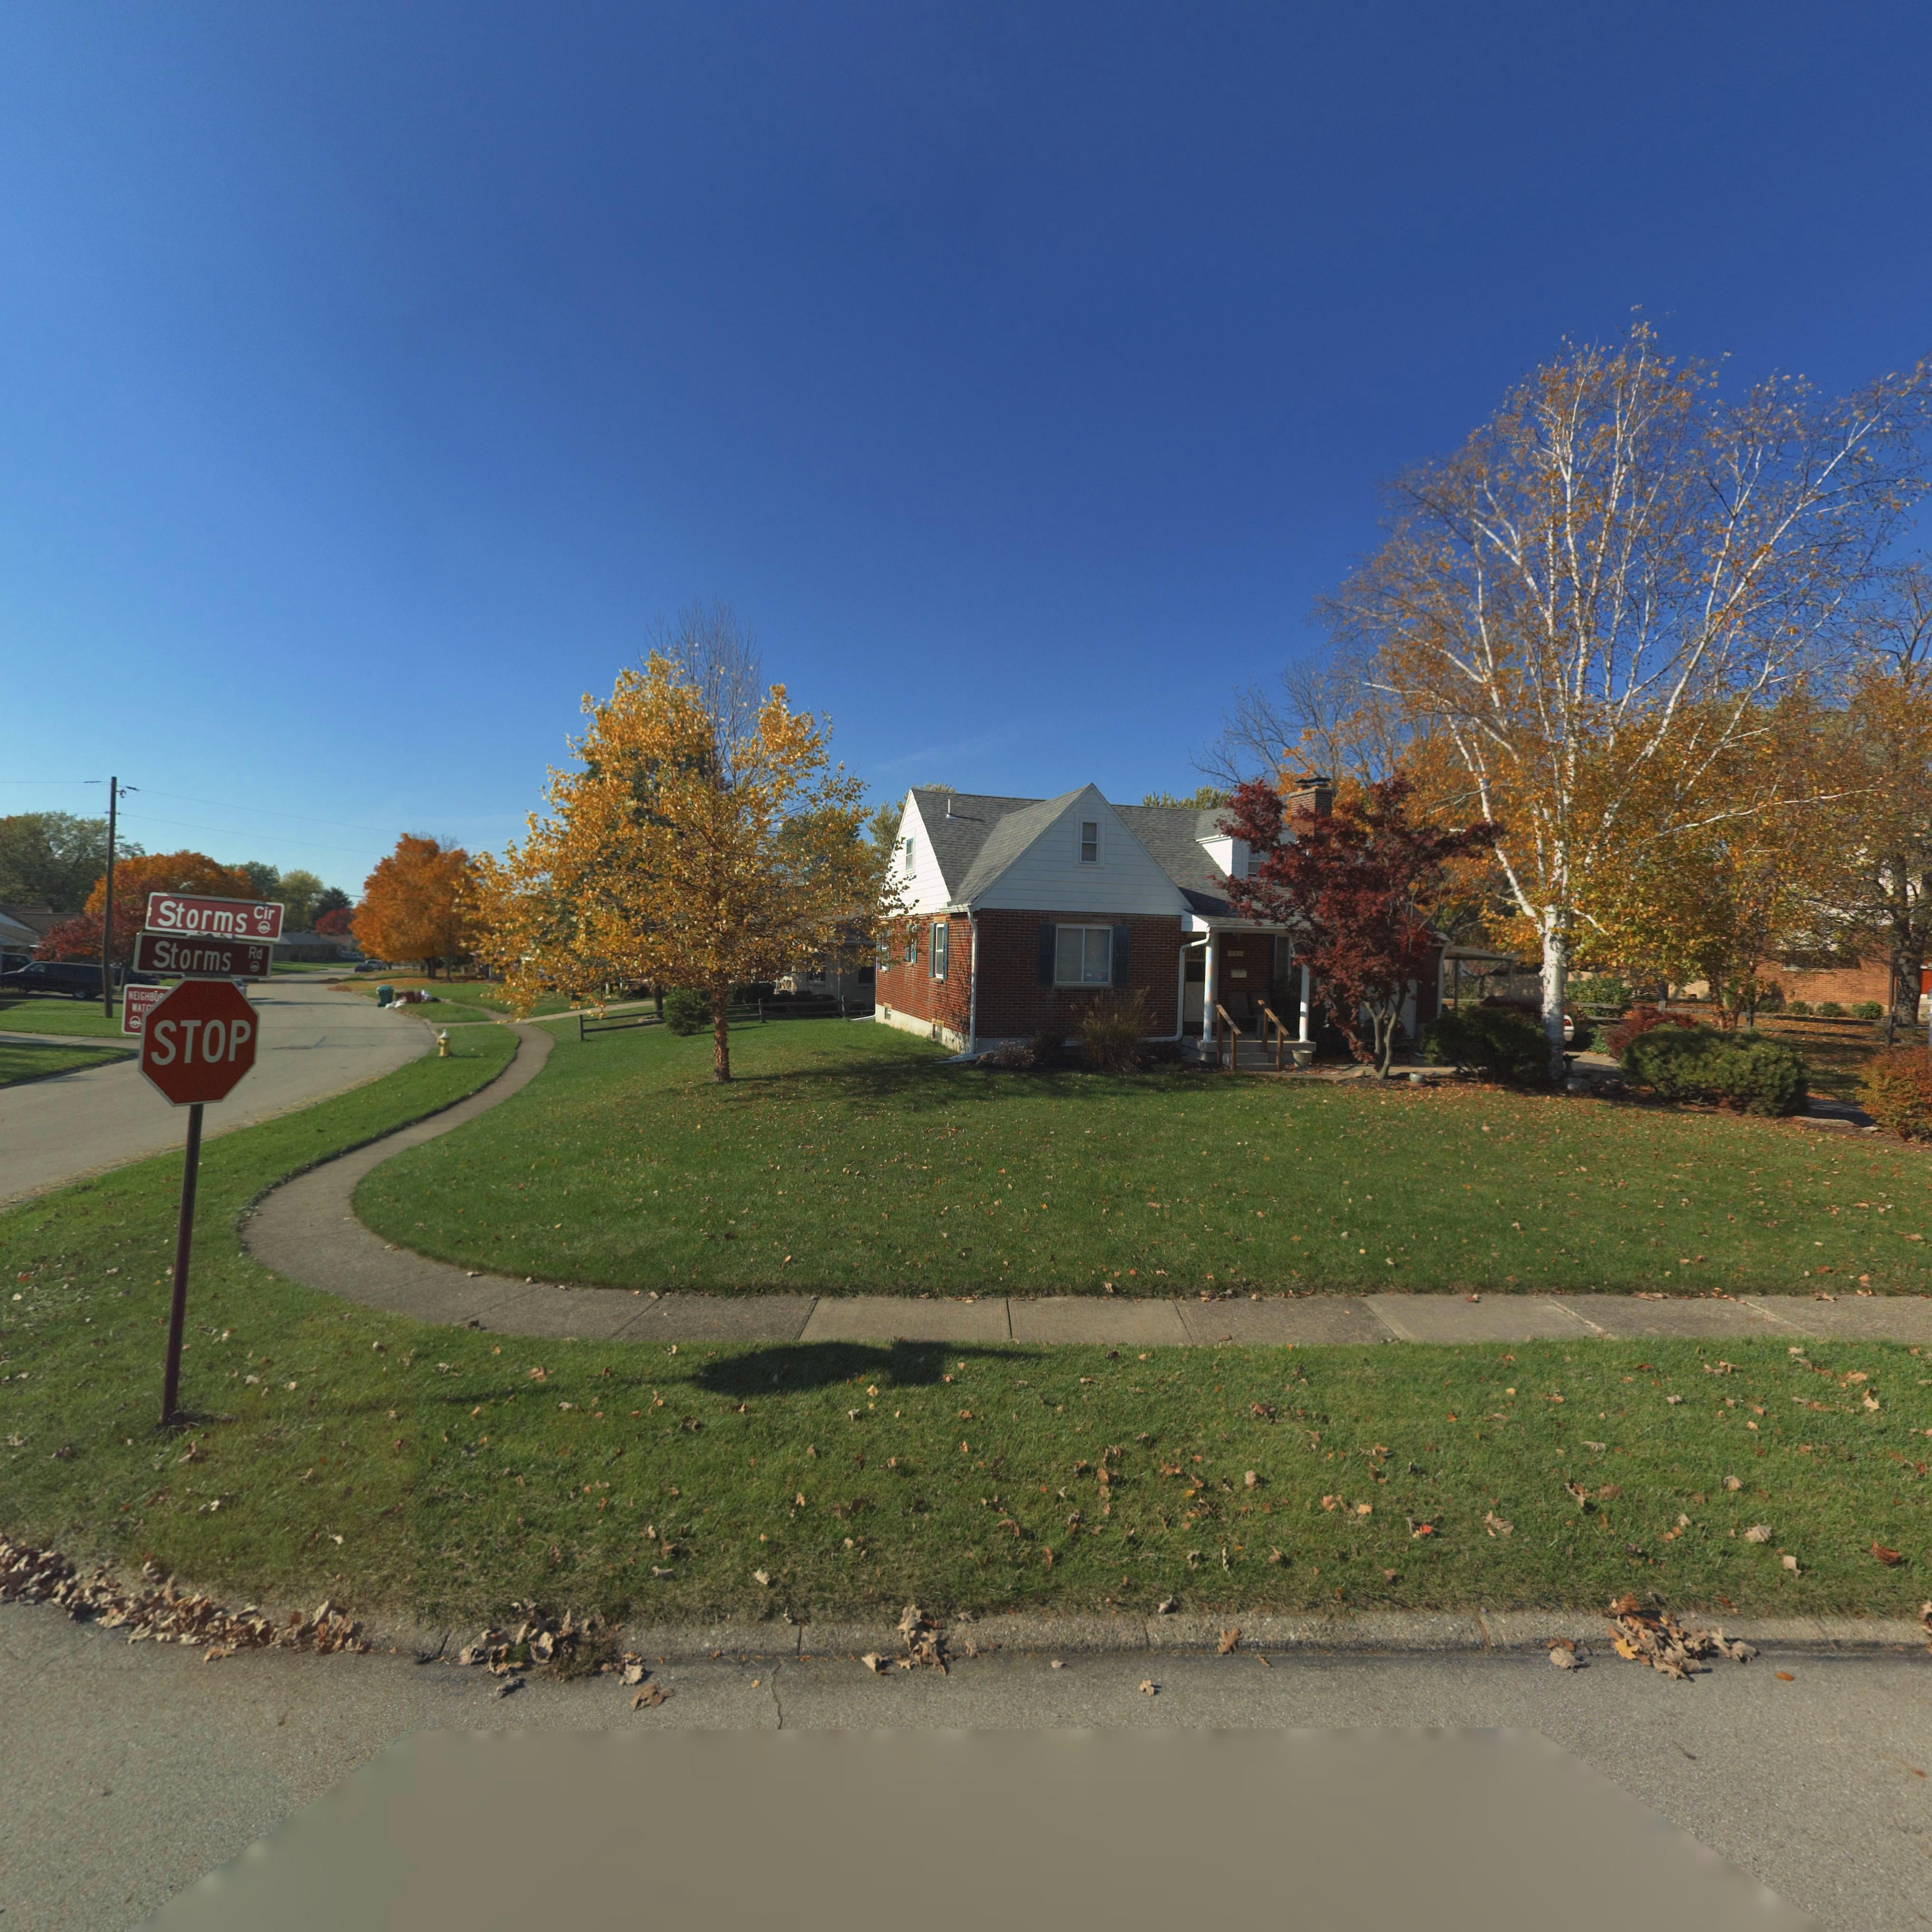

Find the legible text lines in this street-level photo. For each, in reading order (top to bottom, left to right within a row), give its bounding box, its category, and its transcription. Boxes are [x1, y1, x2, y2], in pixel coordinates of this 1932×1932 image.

[156, 899, 276, 934] StreetName: Storms Cir
[151, 940, 264, 973] StreetName: Storms Rd
[1229, 951, 1242, 956] StreetNumber: 70*
[131, 1003, 146, 1014] None: WAT
[127, 990, 160, 1002] None: NEIGHBO
[150, 1019, 252, 1065] None: STOP